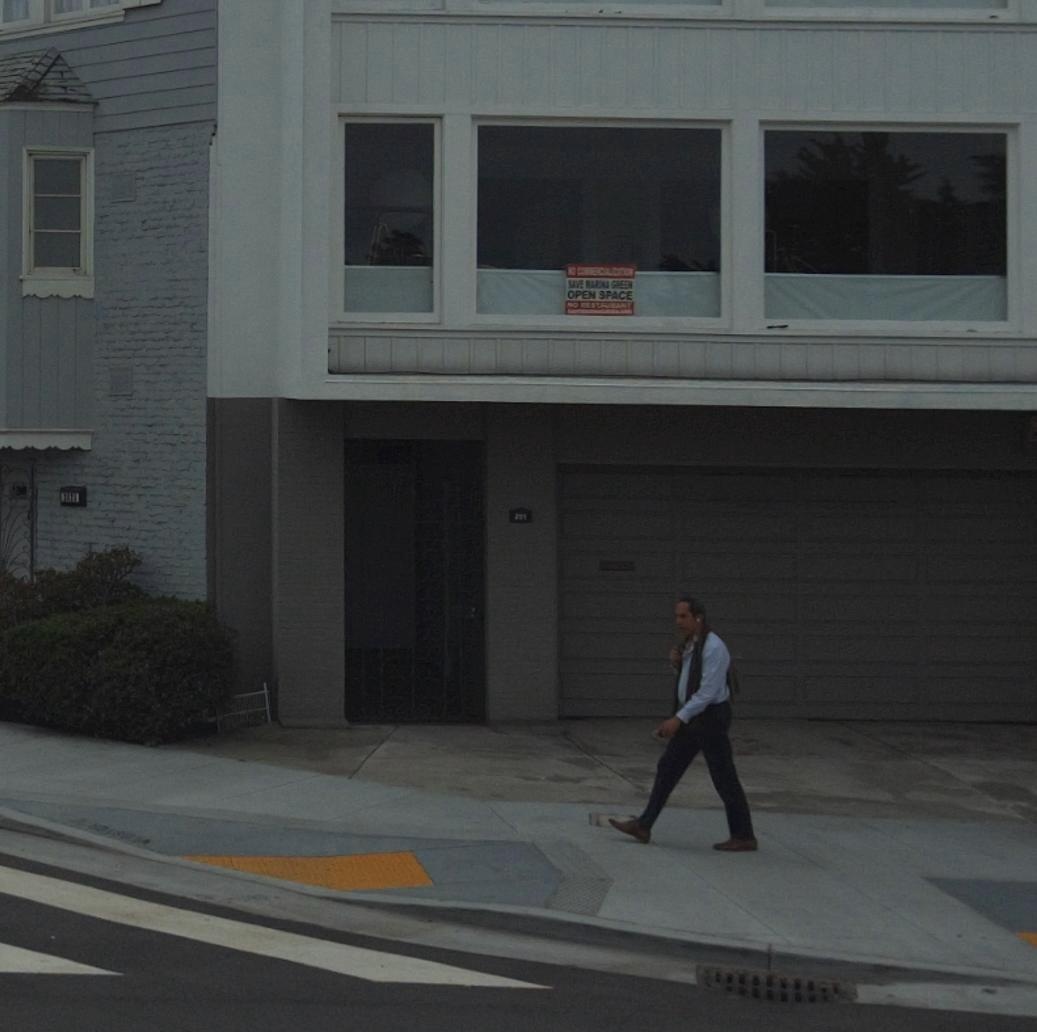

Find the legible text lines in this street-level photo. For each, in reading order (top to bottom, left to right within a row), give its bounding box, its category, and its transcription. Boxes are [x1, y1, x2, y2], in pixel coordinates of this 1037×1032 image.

[566, 289, 633, 301] None: OPEN SPACE
[513, 513, 527, 521] StreetNumber: 221